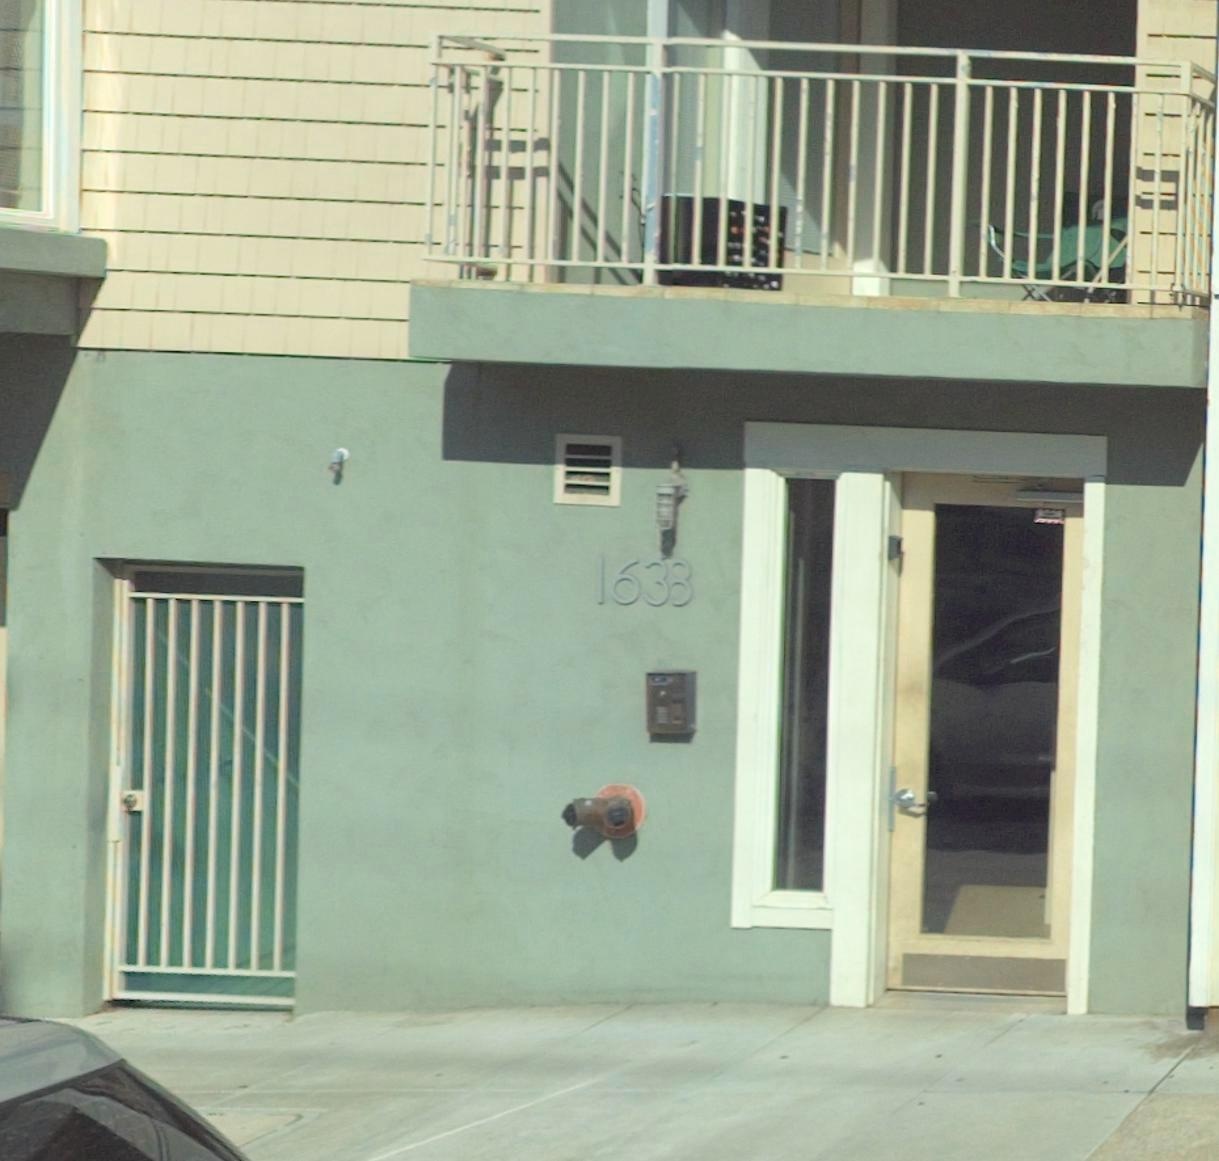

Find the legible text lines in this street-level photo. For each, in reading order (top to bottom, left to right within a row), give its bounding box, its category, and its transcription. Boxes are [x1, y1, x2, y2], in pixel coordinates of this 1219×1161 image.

[596, 557, 693, 608] StreetNumber: 1638